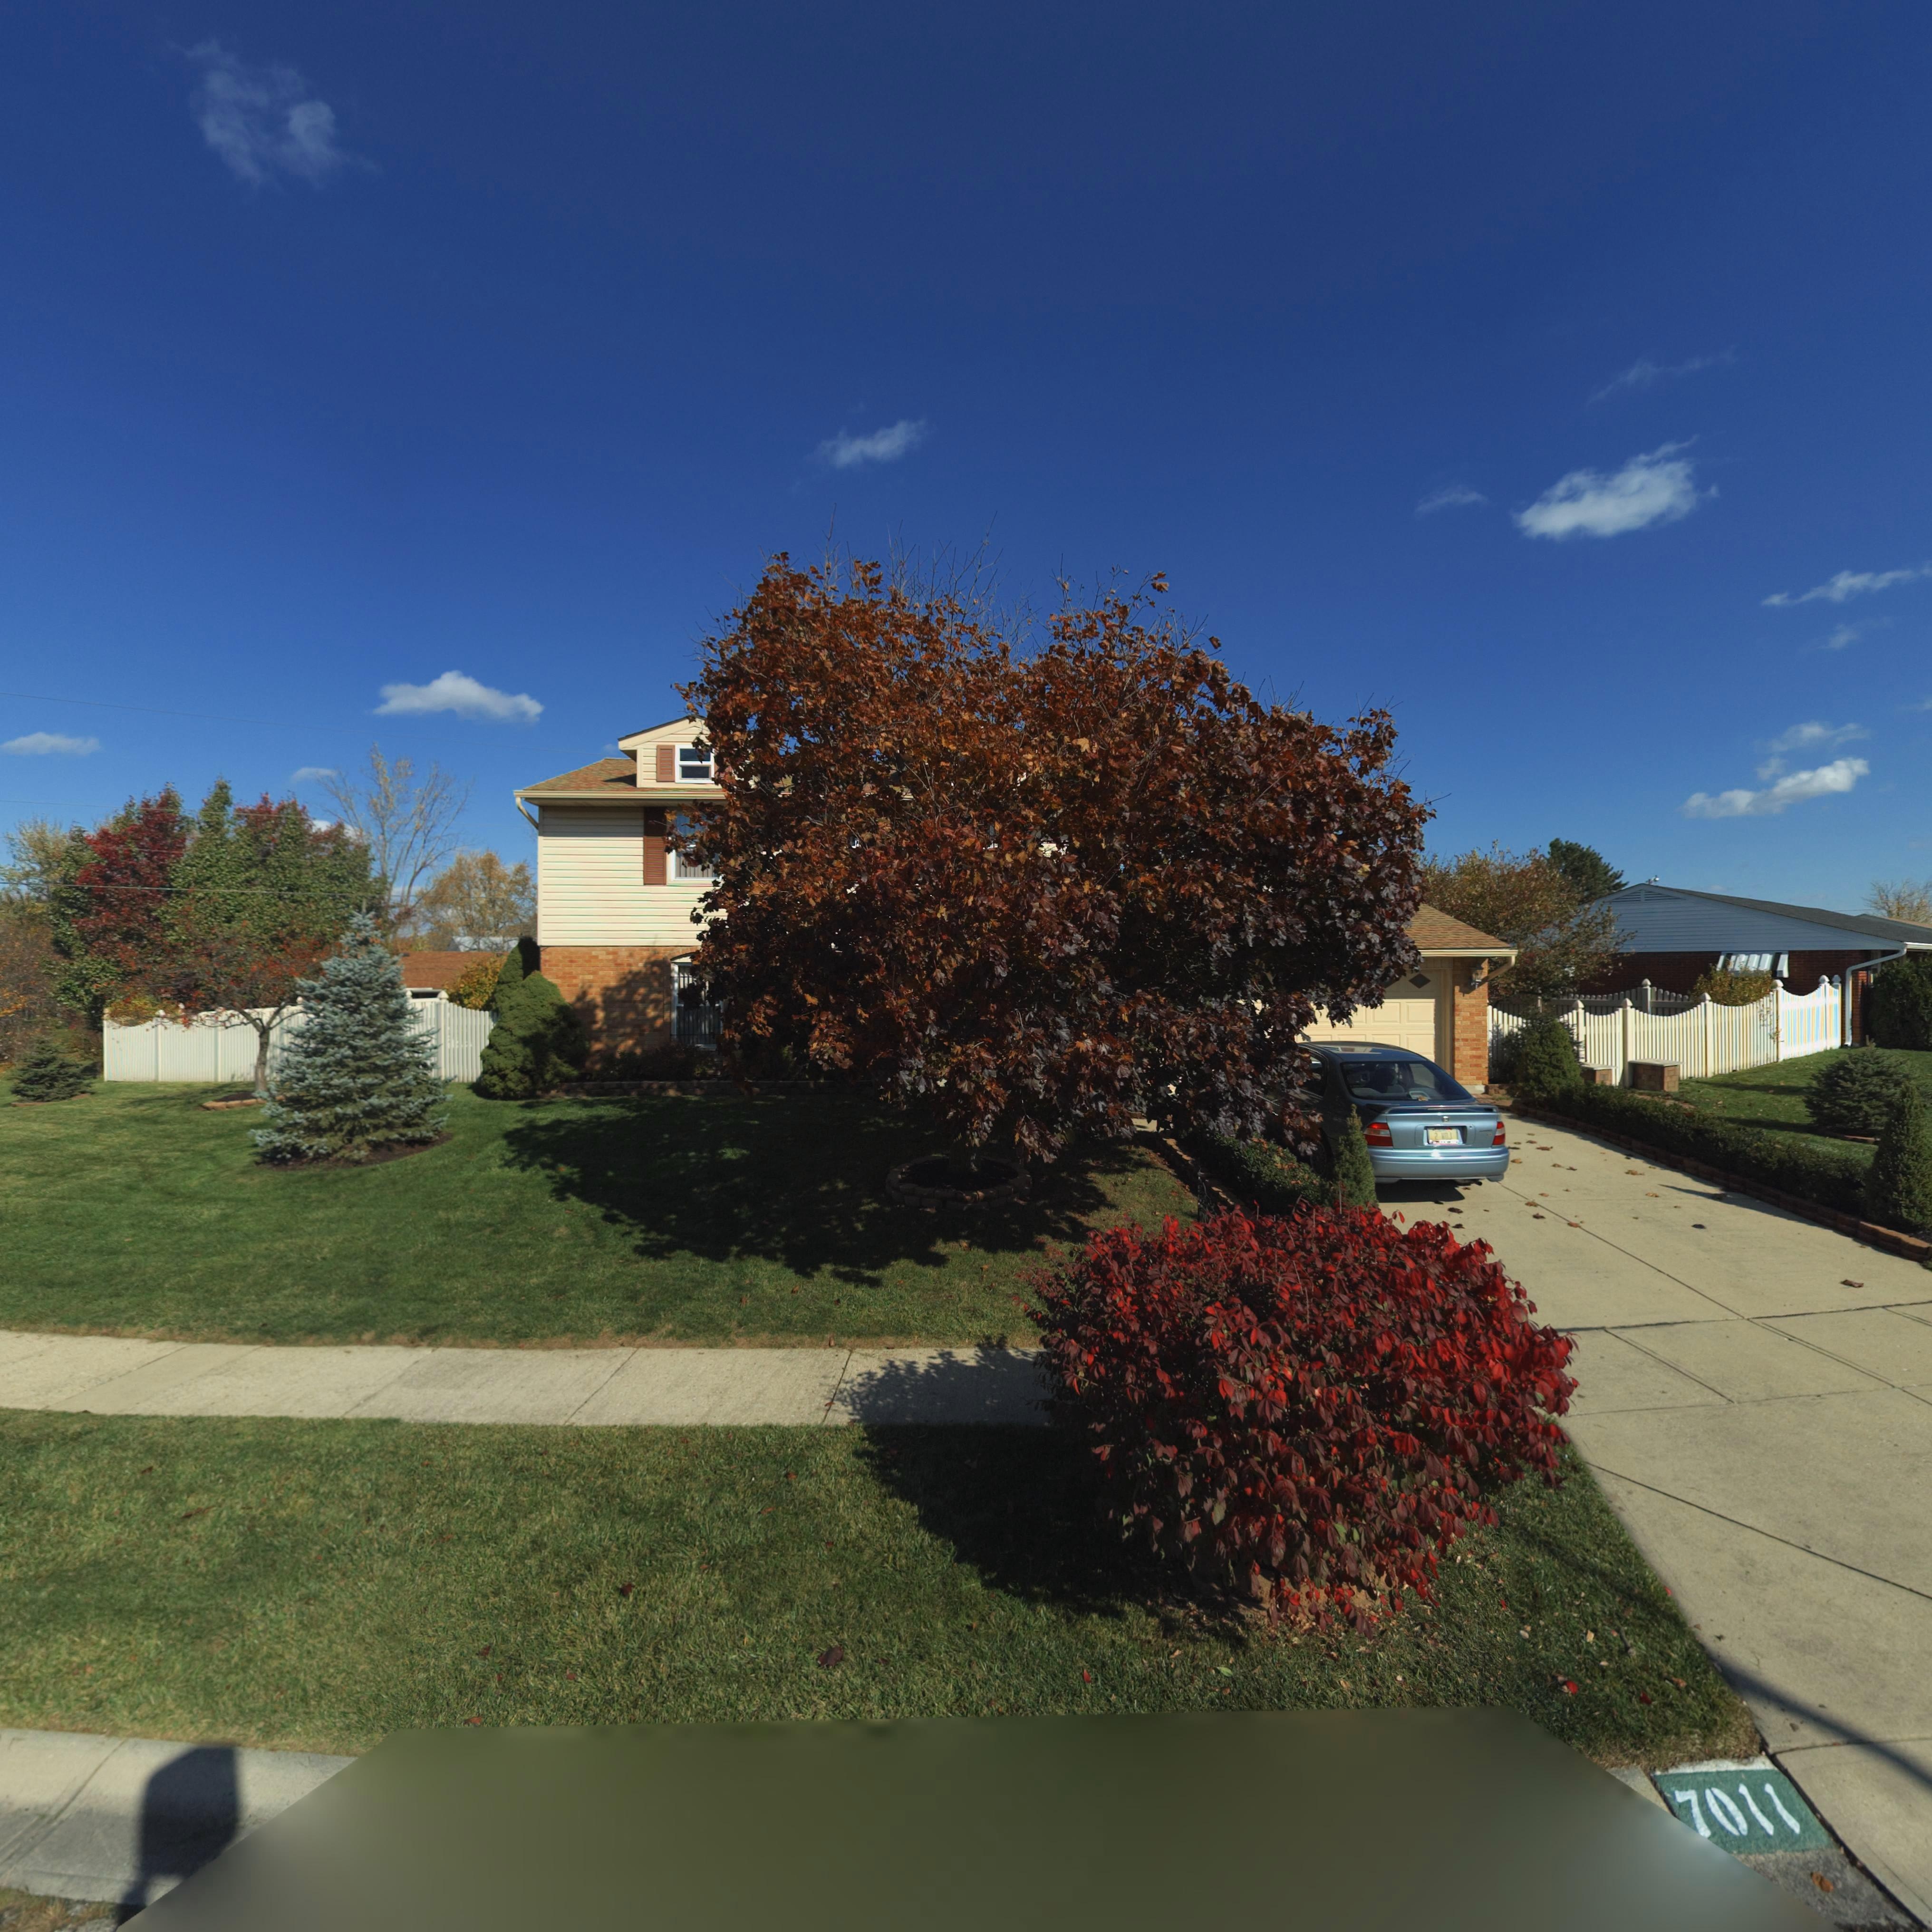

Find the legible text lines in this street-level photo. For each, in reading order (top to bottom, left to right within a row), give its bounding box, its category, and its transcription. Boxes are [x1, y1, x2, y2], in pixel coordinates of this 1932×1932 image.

[1671, 1780, 1803, 1841] StreetNumber: 7011